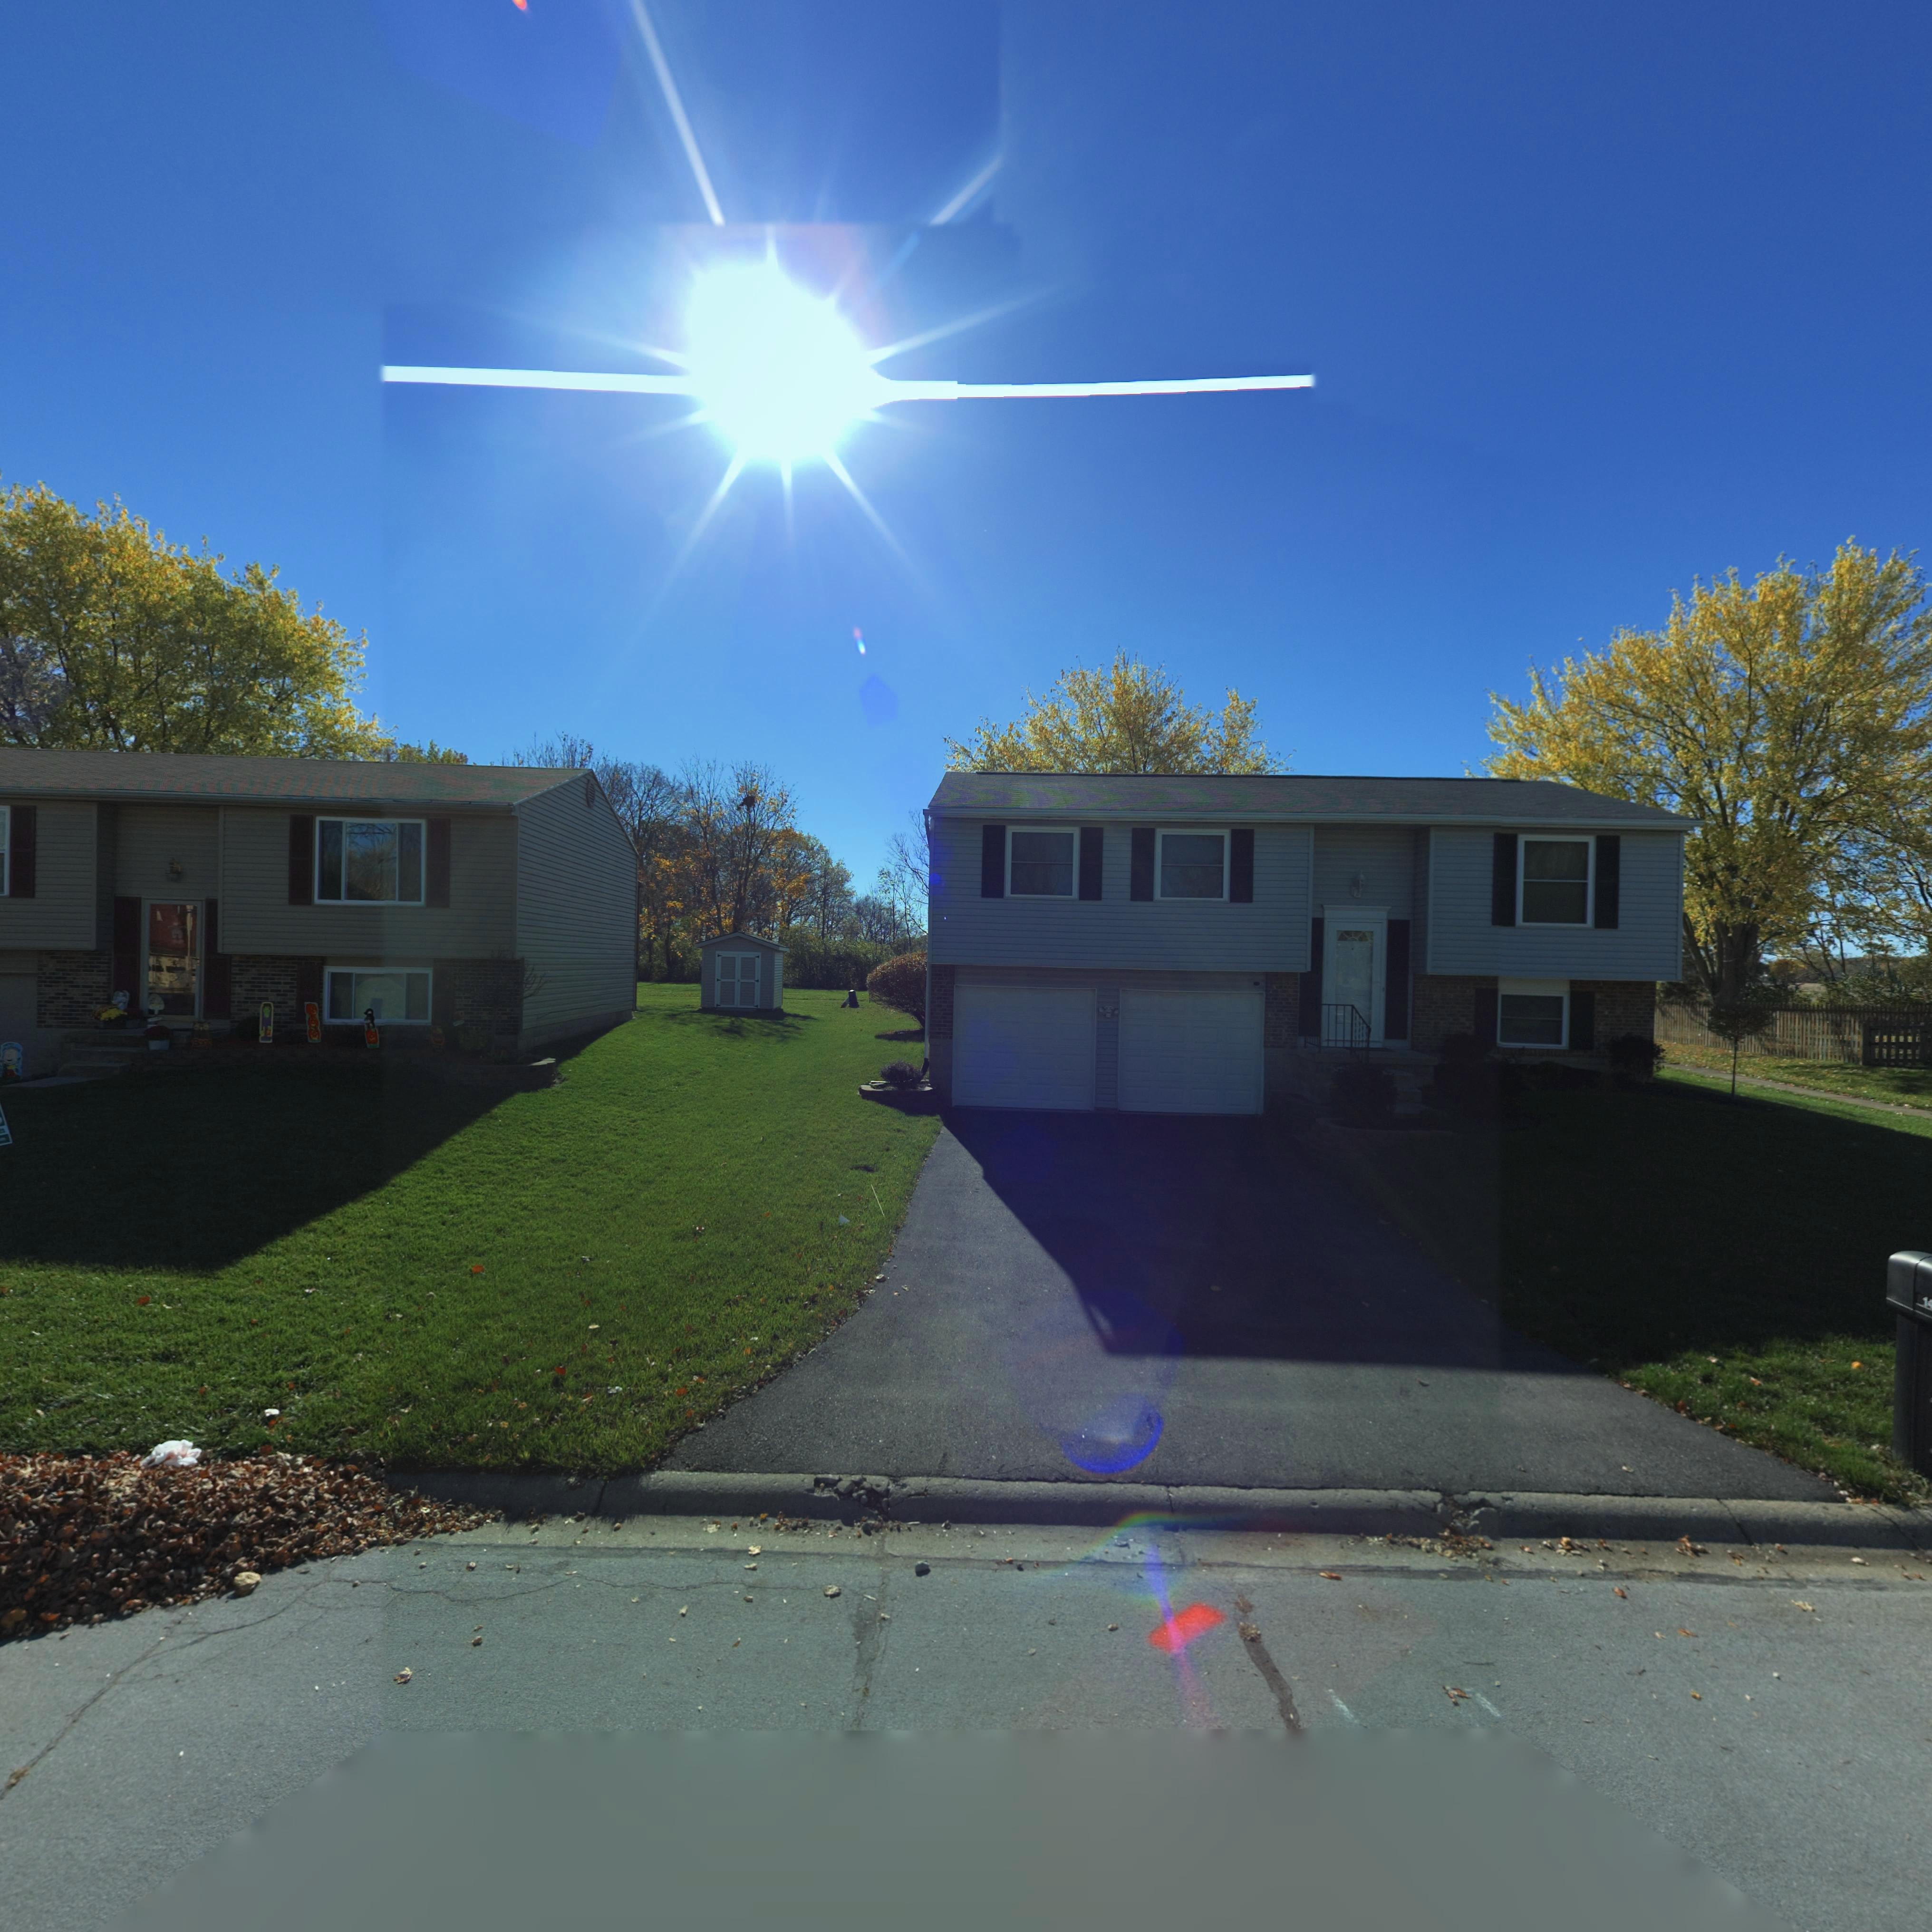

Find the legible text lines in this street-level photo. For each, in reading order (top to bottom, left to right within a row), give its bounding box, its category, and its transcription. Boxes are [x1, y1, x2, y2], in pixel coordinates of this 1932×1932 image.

[1922, 1295, 1929, 1309] StreetNumber: 1